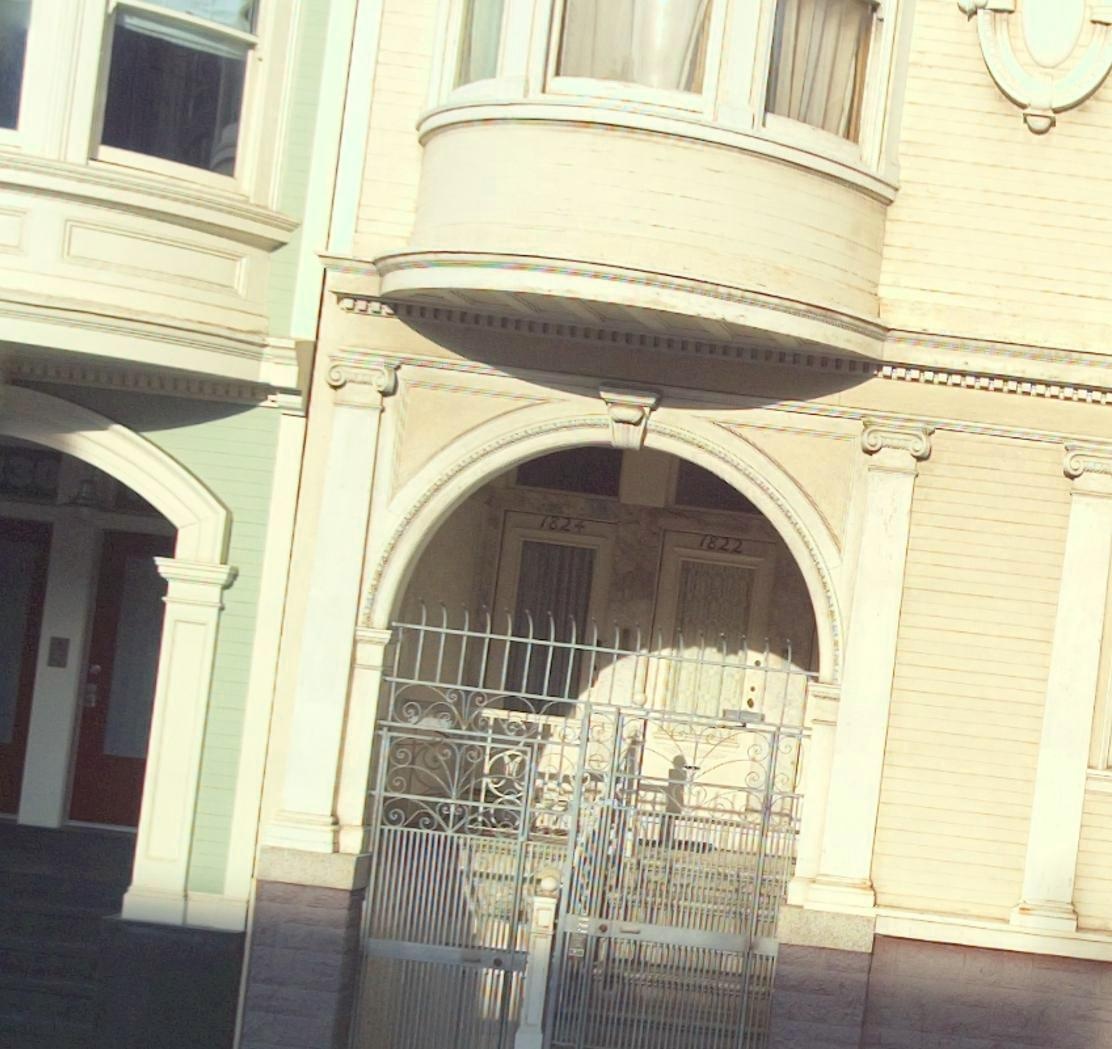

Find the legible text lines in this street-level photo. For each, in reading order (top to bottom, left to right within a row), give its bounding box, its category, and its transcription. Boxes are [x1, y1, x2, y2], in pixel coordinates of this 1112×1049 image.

[535, 513, 589, 536] StreetNumber: 1824
[693, 532, 746, 556] StreetNumber: 1822